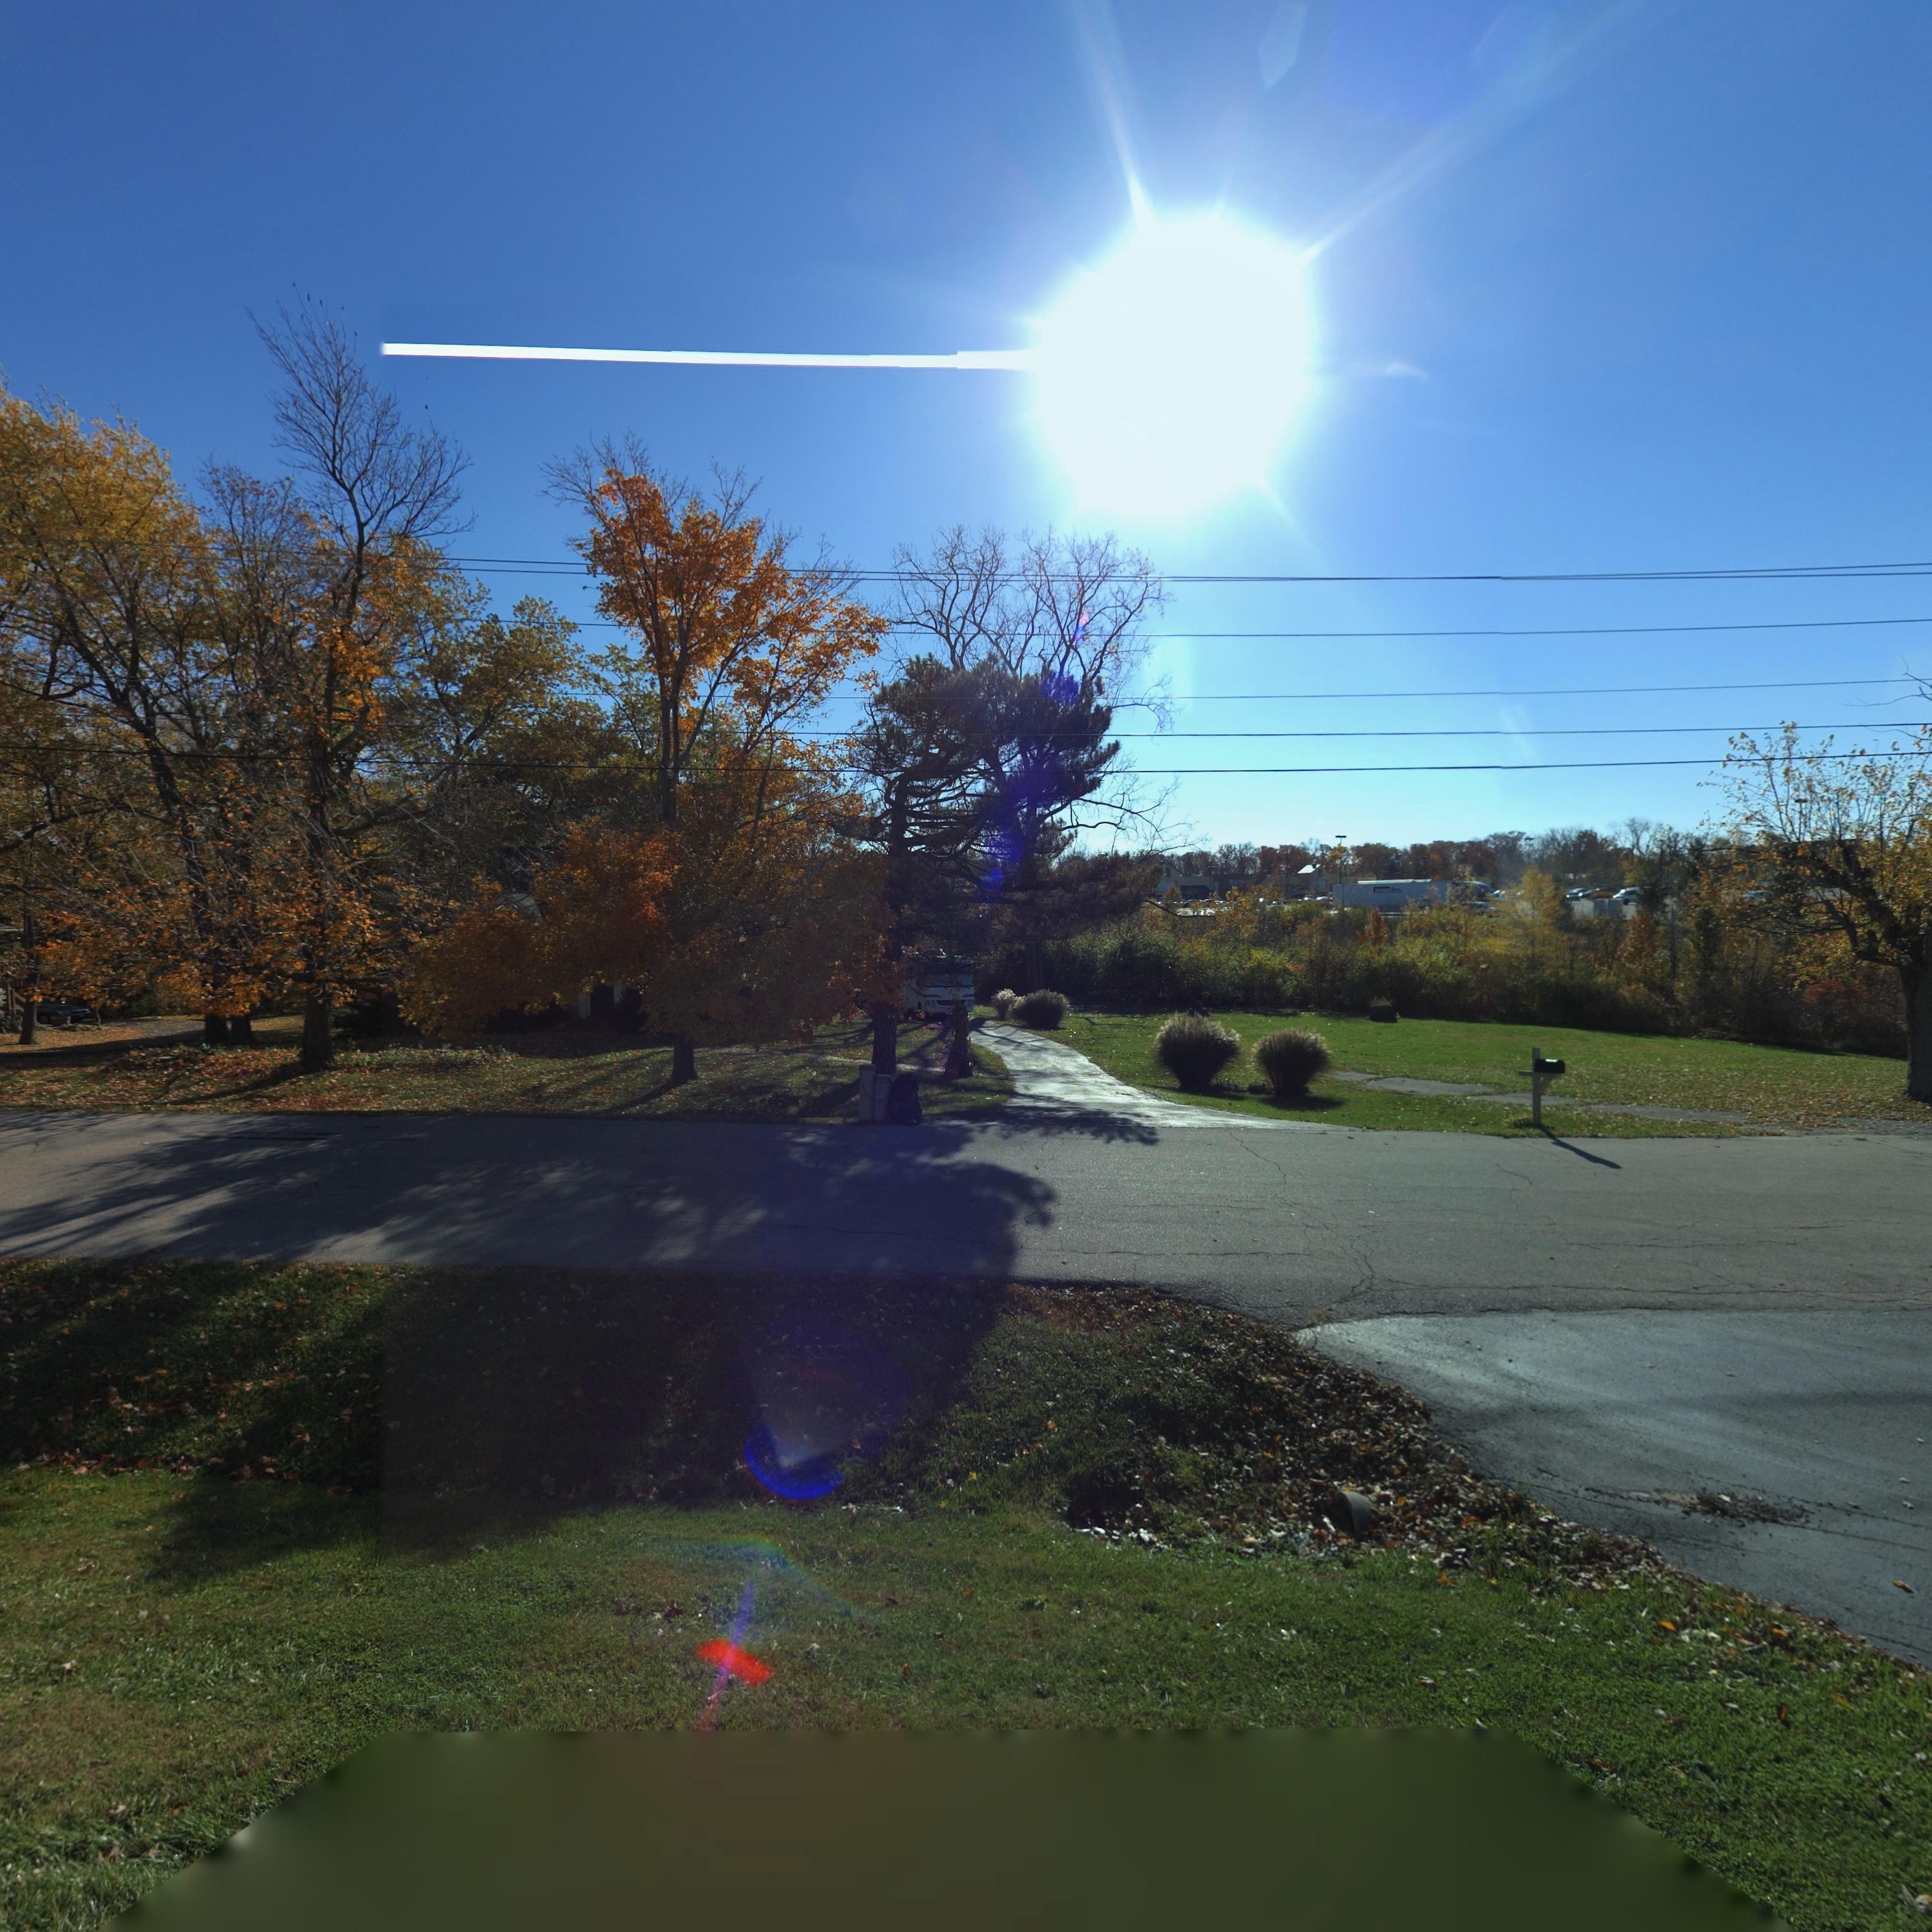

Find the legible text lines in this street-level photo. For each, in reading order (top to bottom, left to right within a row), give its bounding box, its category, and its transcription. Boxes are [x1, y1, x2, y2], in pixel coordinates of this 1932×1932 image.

[1536, 1097, 1541, 1121] StreetNumber: 7**